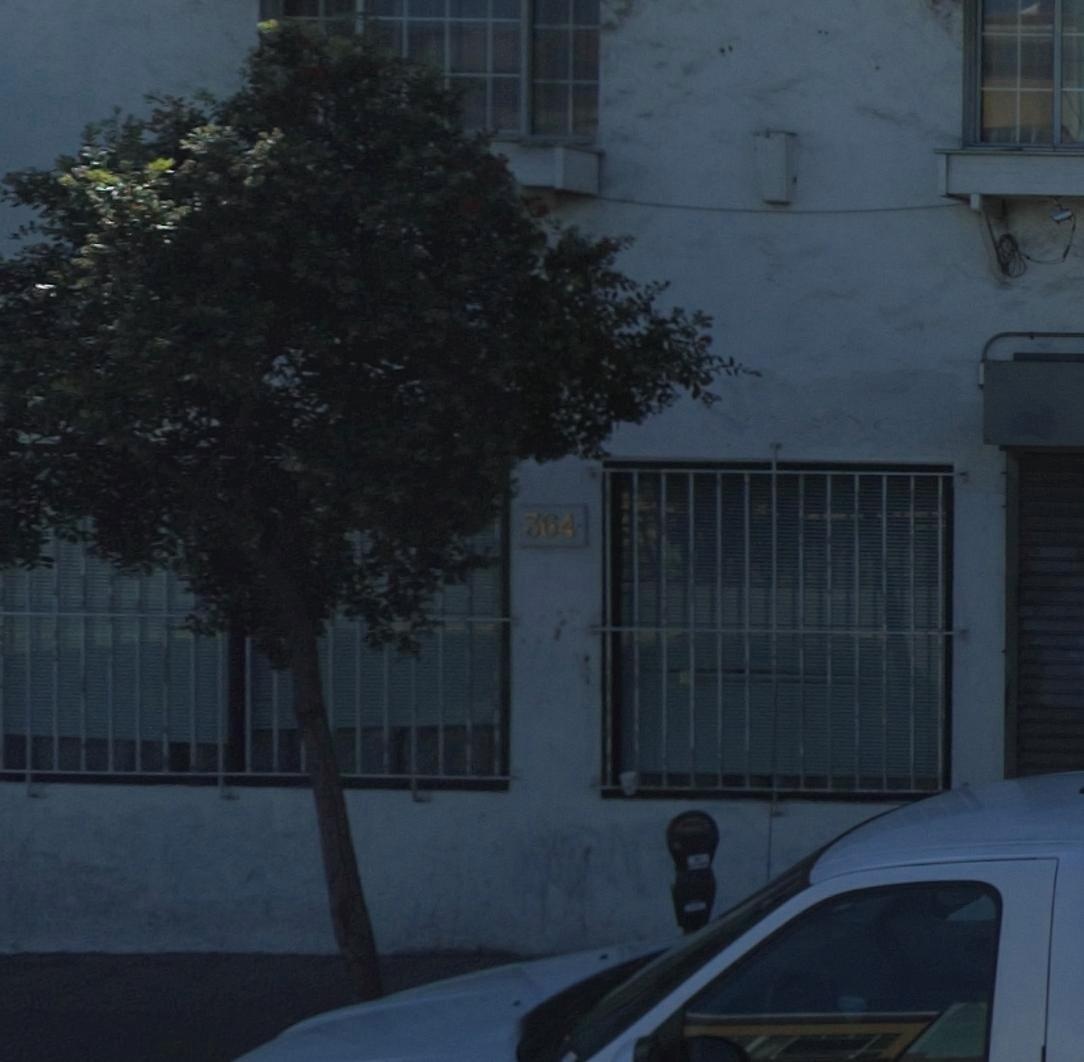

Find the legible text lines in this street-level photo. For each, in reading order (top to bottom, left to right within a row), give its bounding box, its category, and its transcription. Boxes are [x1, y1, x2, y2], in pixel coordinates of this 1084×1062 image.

[520, 506, 581, 544] StreetNumber: 364